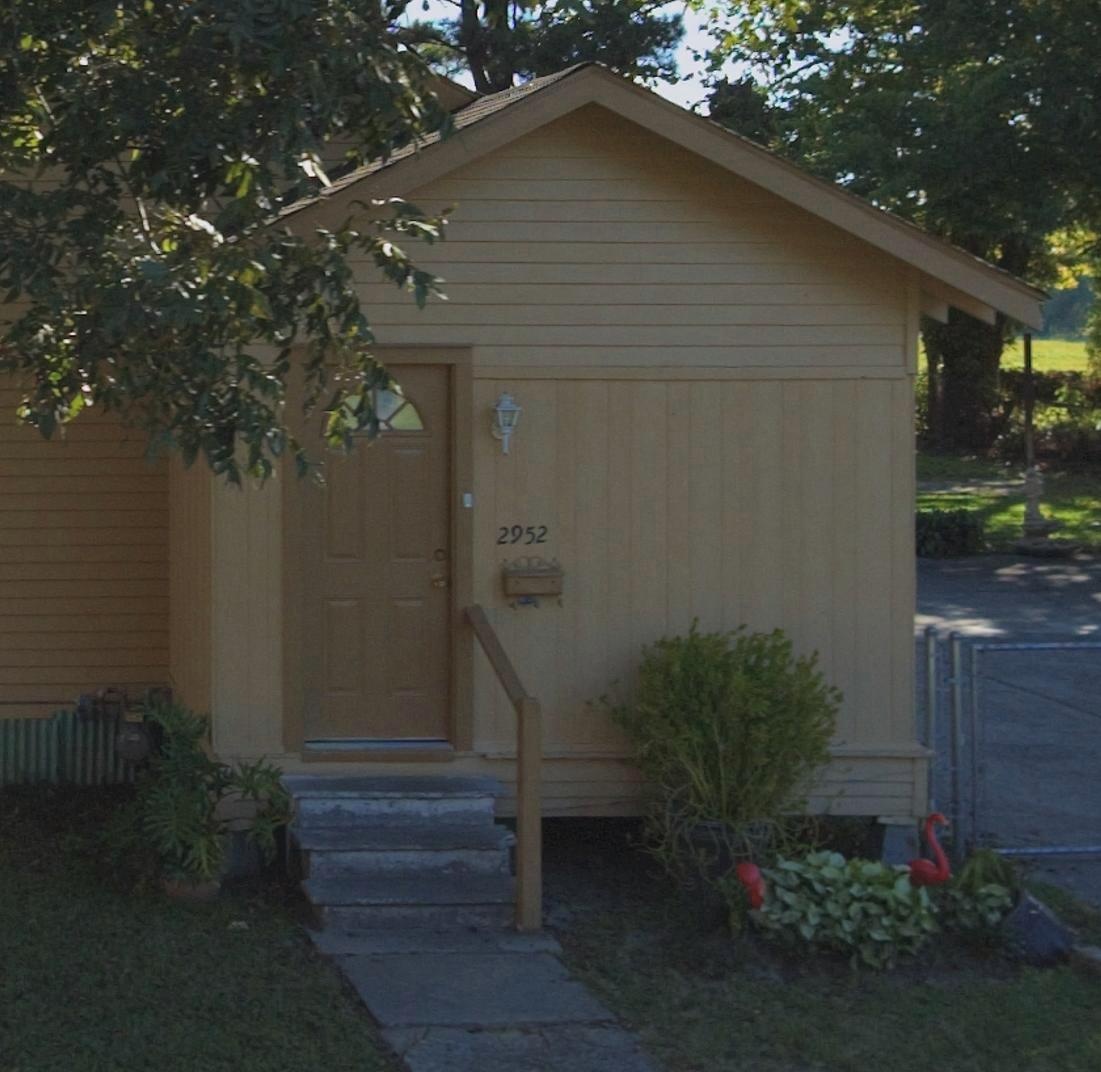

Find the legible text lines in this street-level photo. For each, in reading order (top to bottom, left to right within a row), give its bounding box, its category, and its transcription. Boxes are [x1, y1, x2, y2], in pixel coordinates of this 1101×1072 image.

[495, 522, 550, 548] StreetNumber: 2952